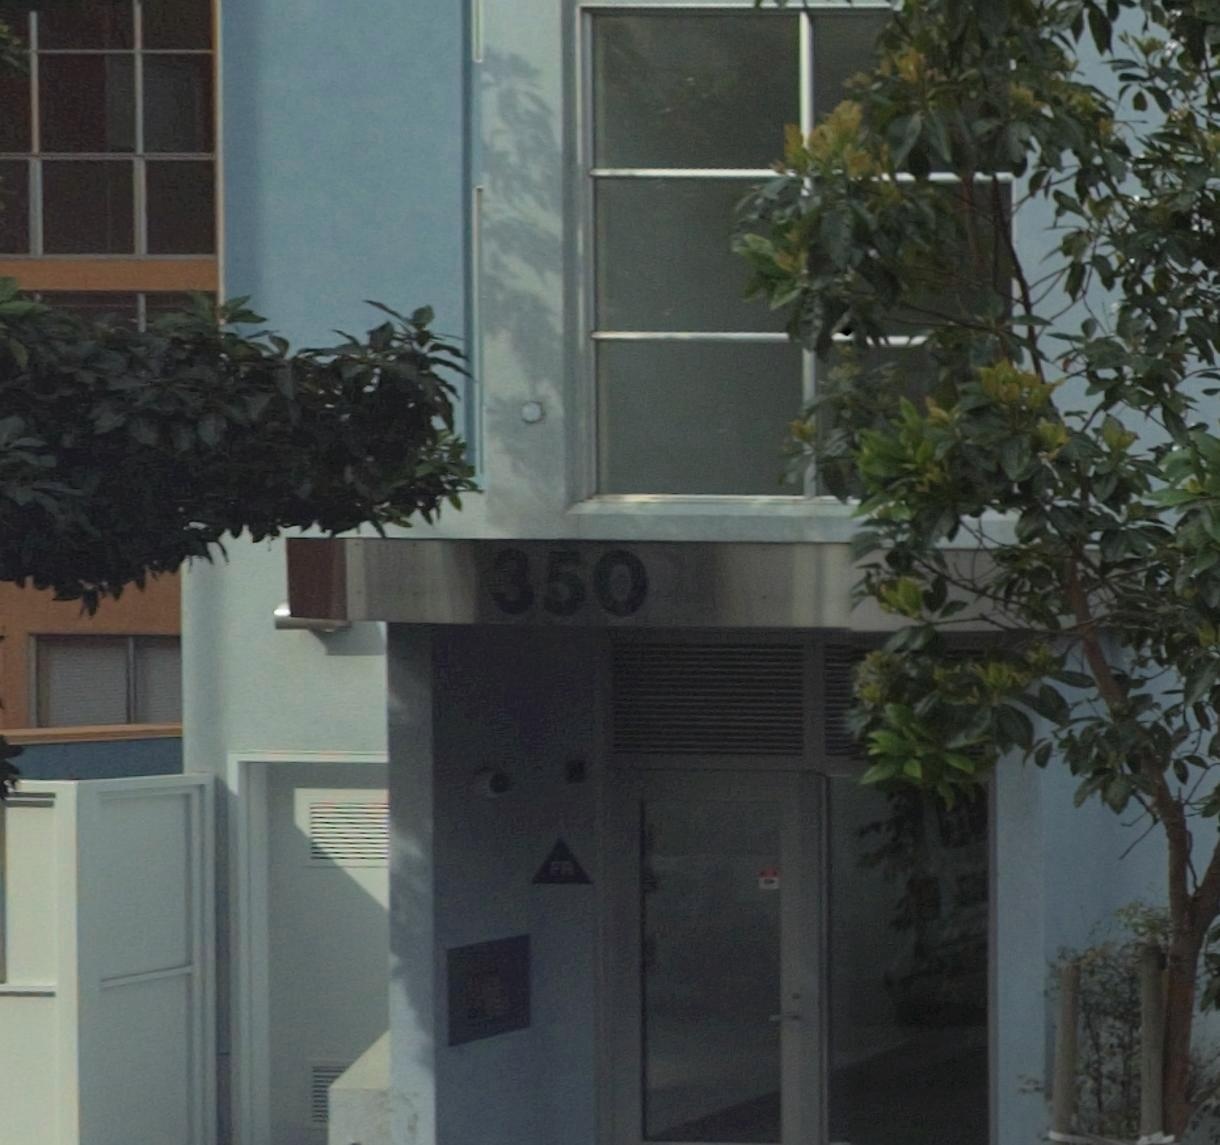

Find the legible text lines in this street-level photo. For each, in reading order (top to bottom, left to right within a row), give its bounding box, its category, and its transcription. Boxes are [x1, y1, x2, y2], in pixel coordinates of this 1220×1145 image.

[489, 545, 654, 620] StreetNumber: 350